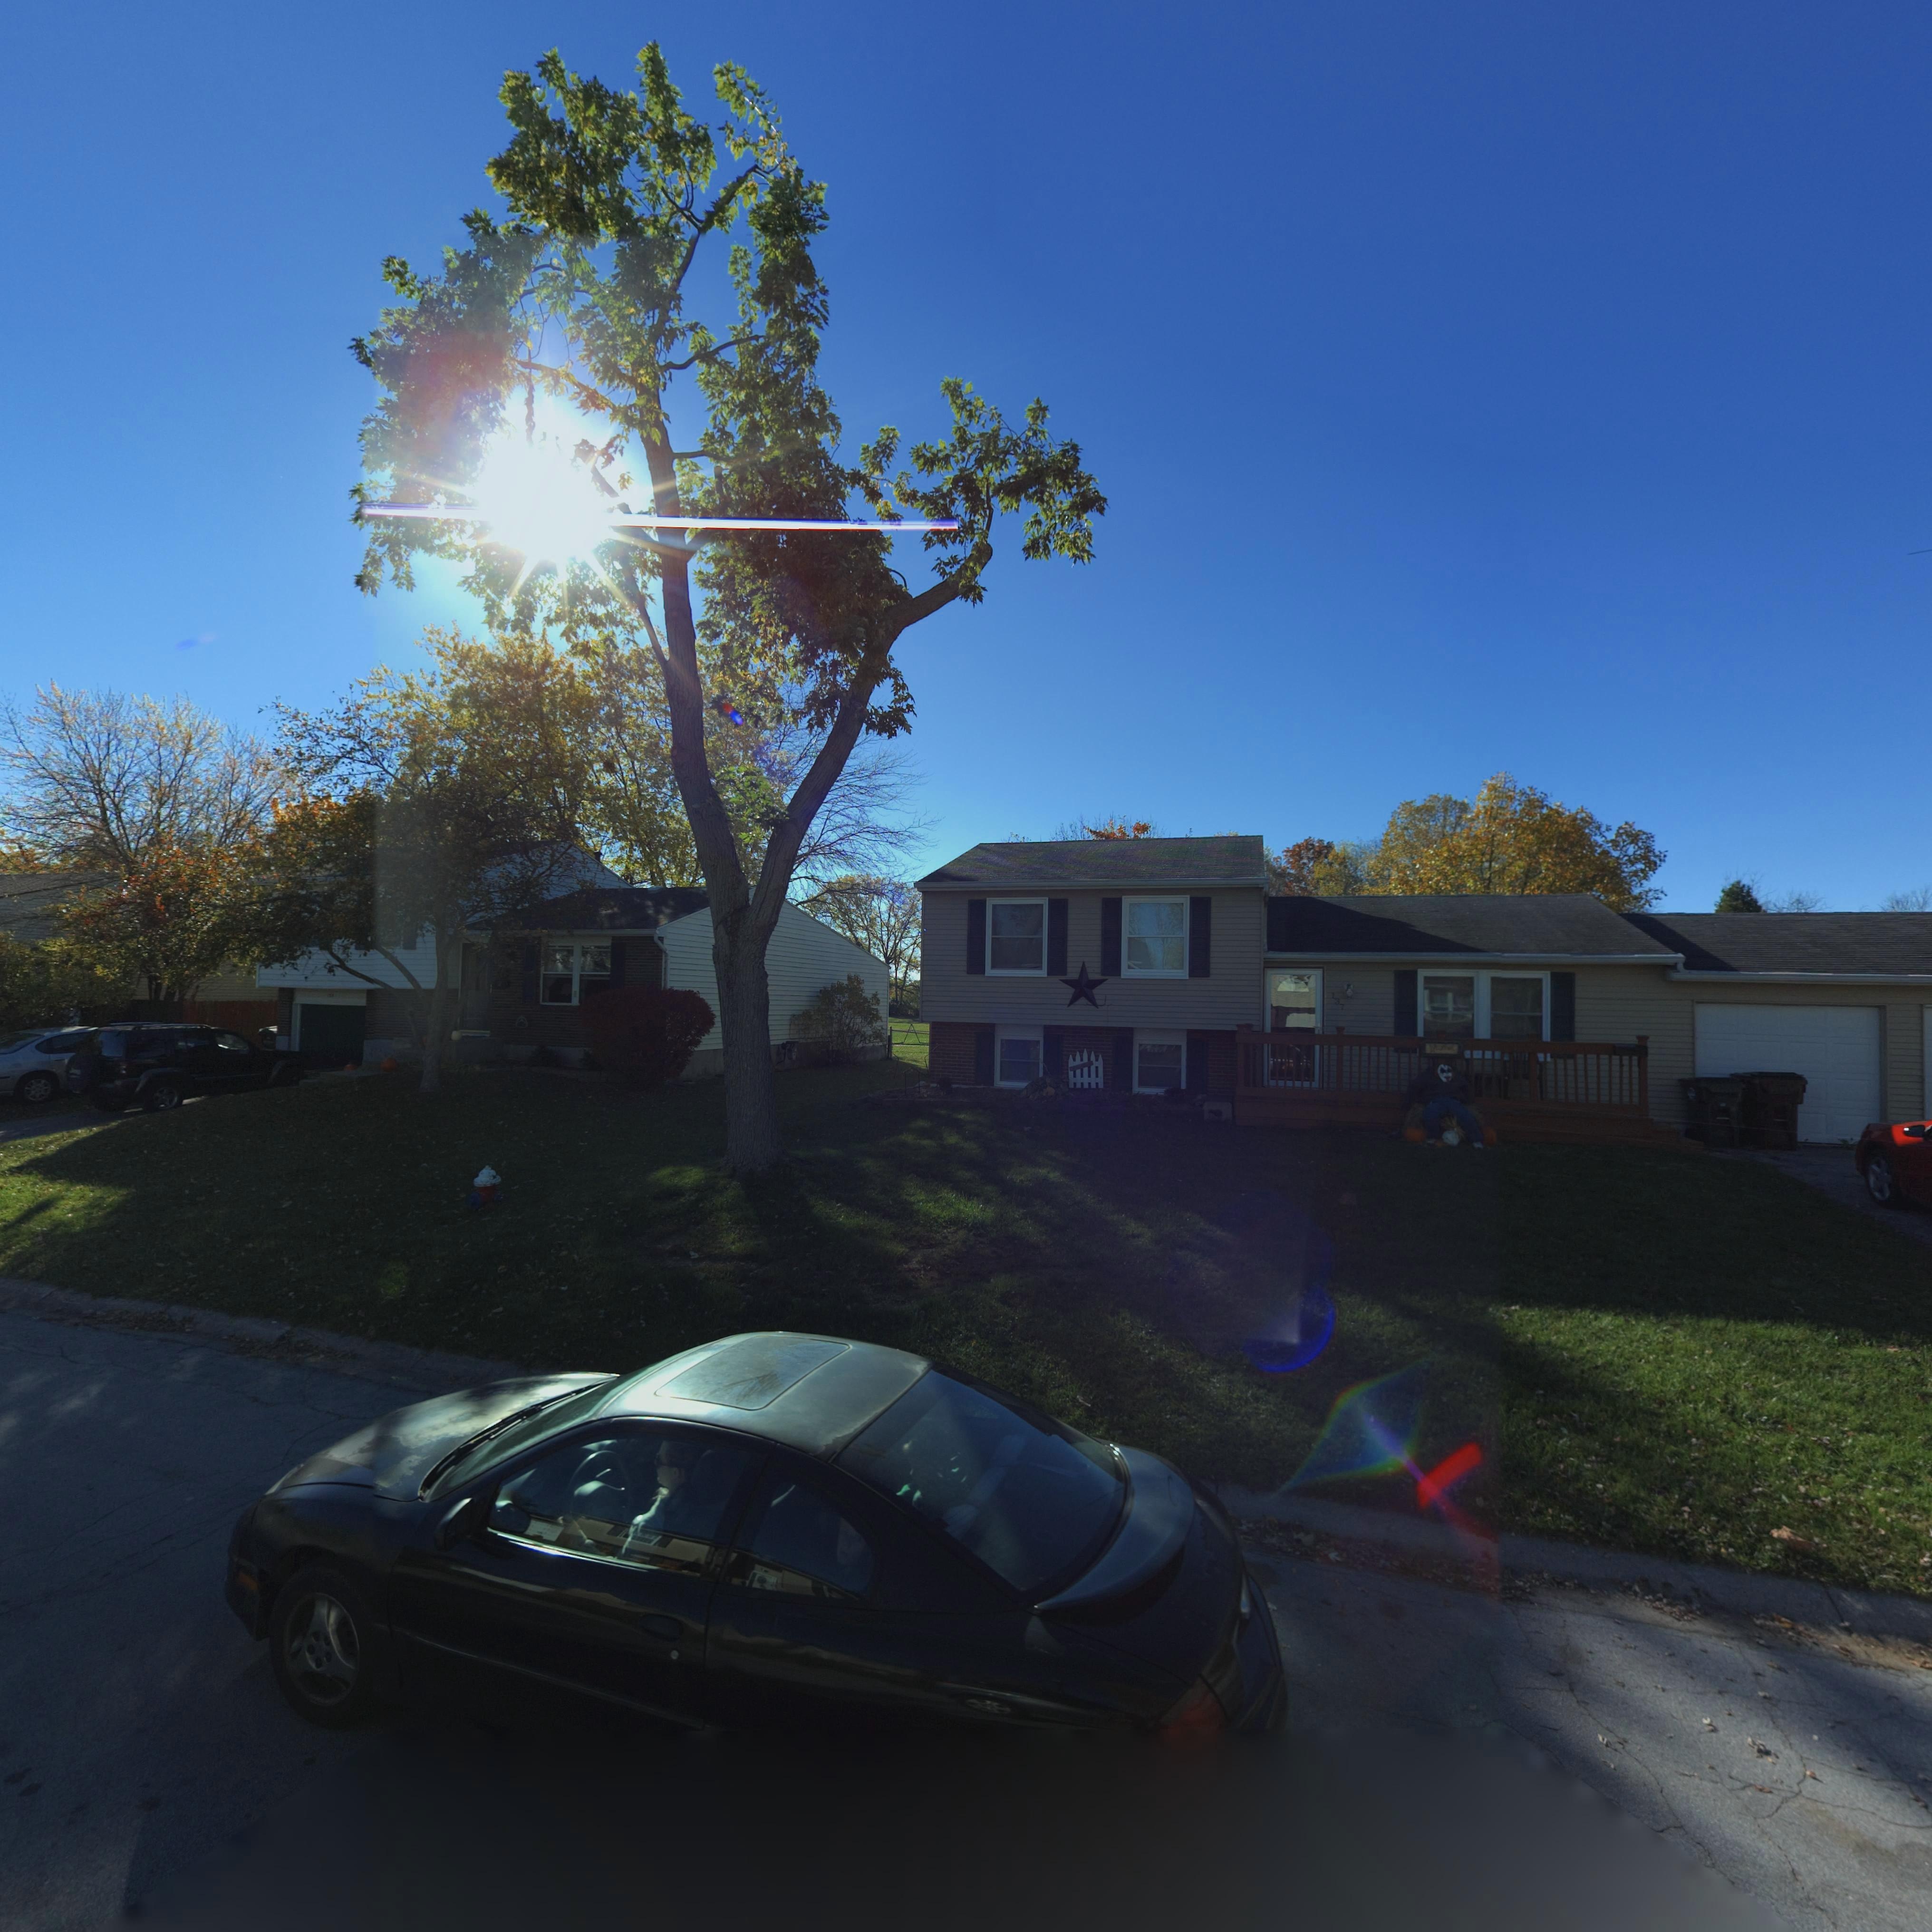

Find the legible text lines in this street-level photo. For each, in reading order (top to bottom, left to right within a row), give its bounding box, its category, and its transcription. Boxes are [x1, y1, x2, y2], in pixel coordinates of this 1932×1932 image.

[1332, 992, 1345, 1011] StreetNumber: 137